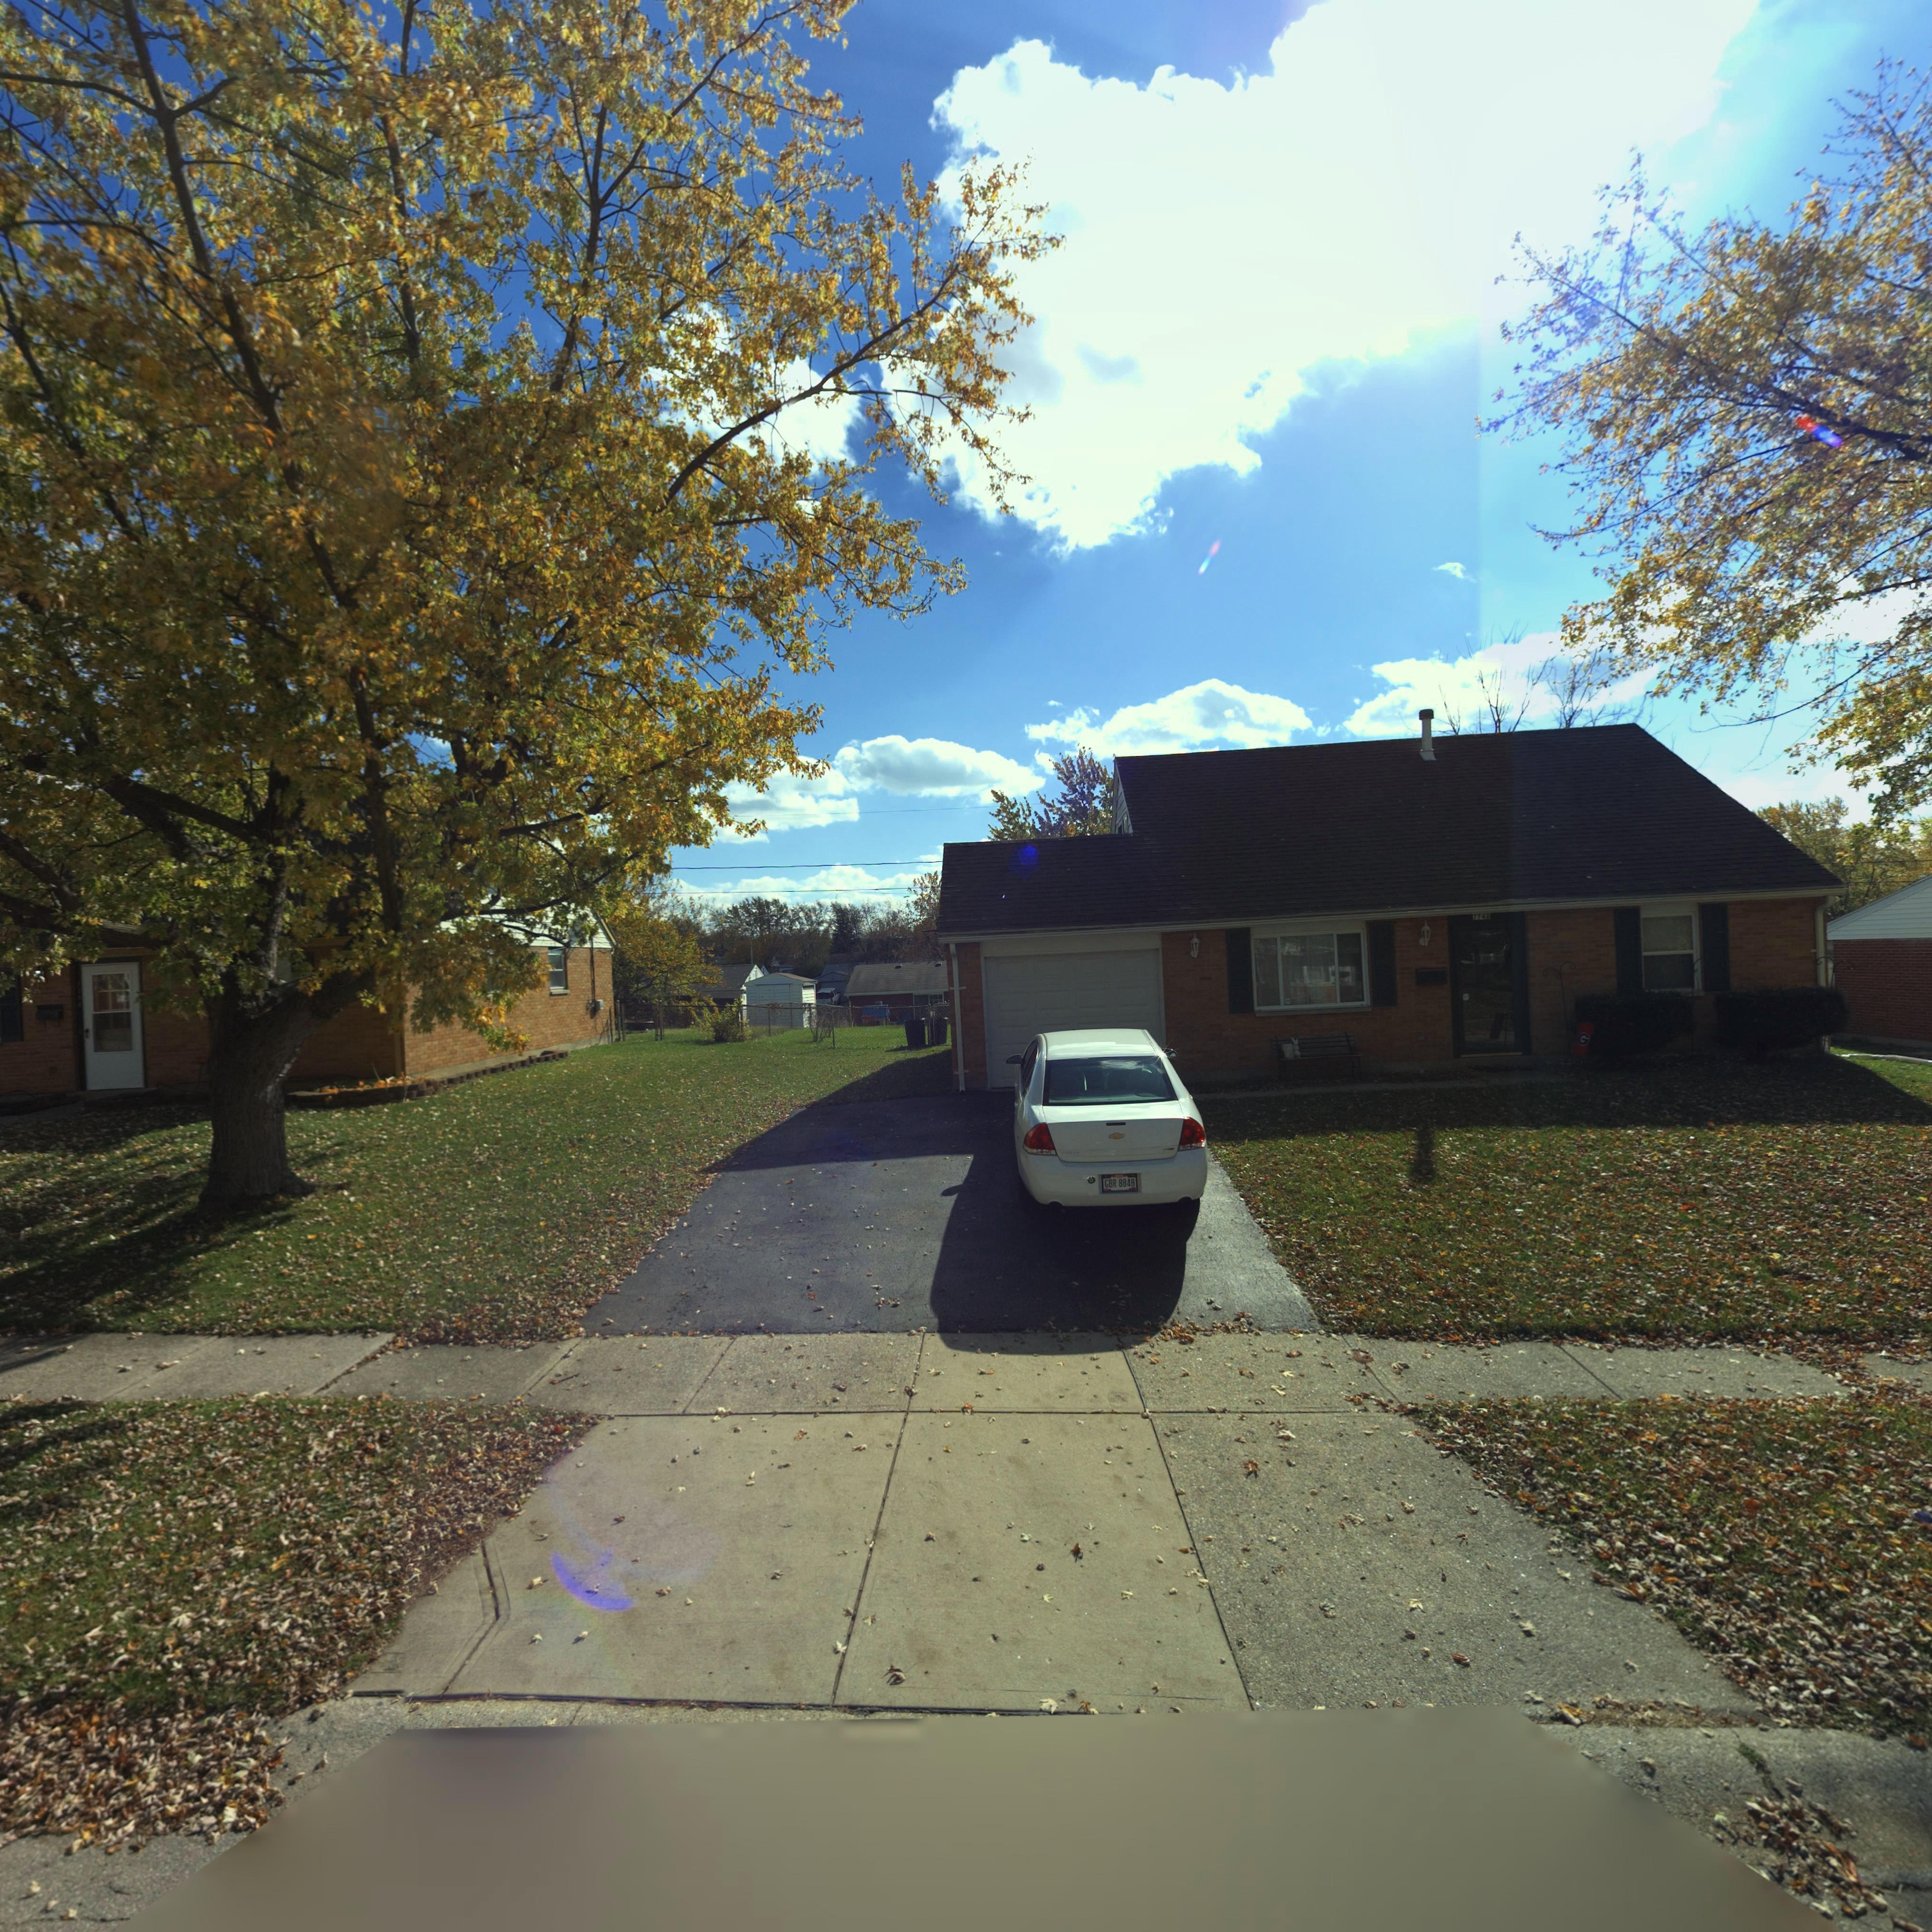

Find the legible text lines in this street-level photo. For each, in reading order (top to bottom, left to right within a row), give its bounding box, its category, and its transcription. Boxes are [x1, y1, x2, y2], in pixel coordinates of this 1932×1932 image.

[1472, 913, 1490, 920] StreetNumber: 7748